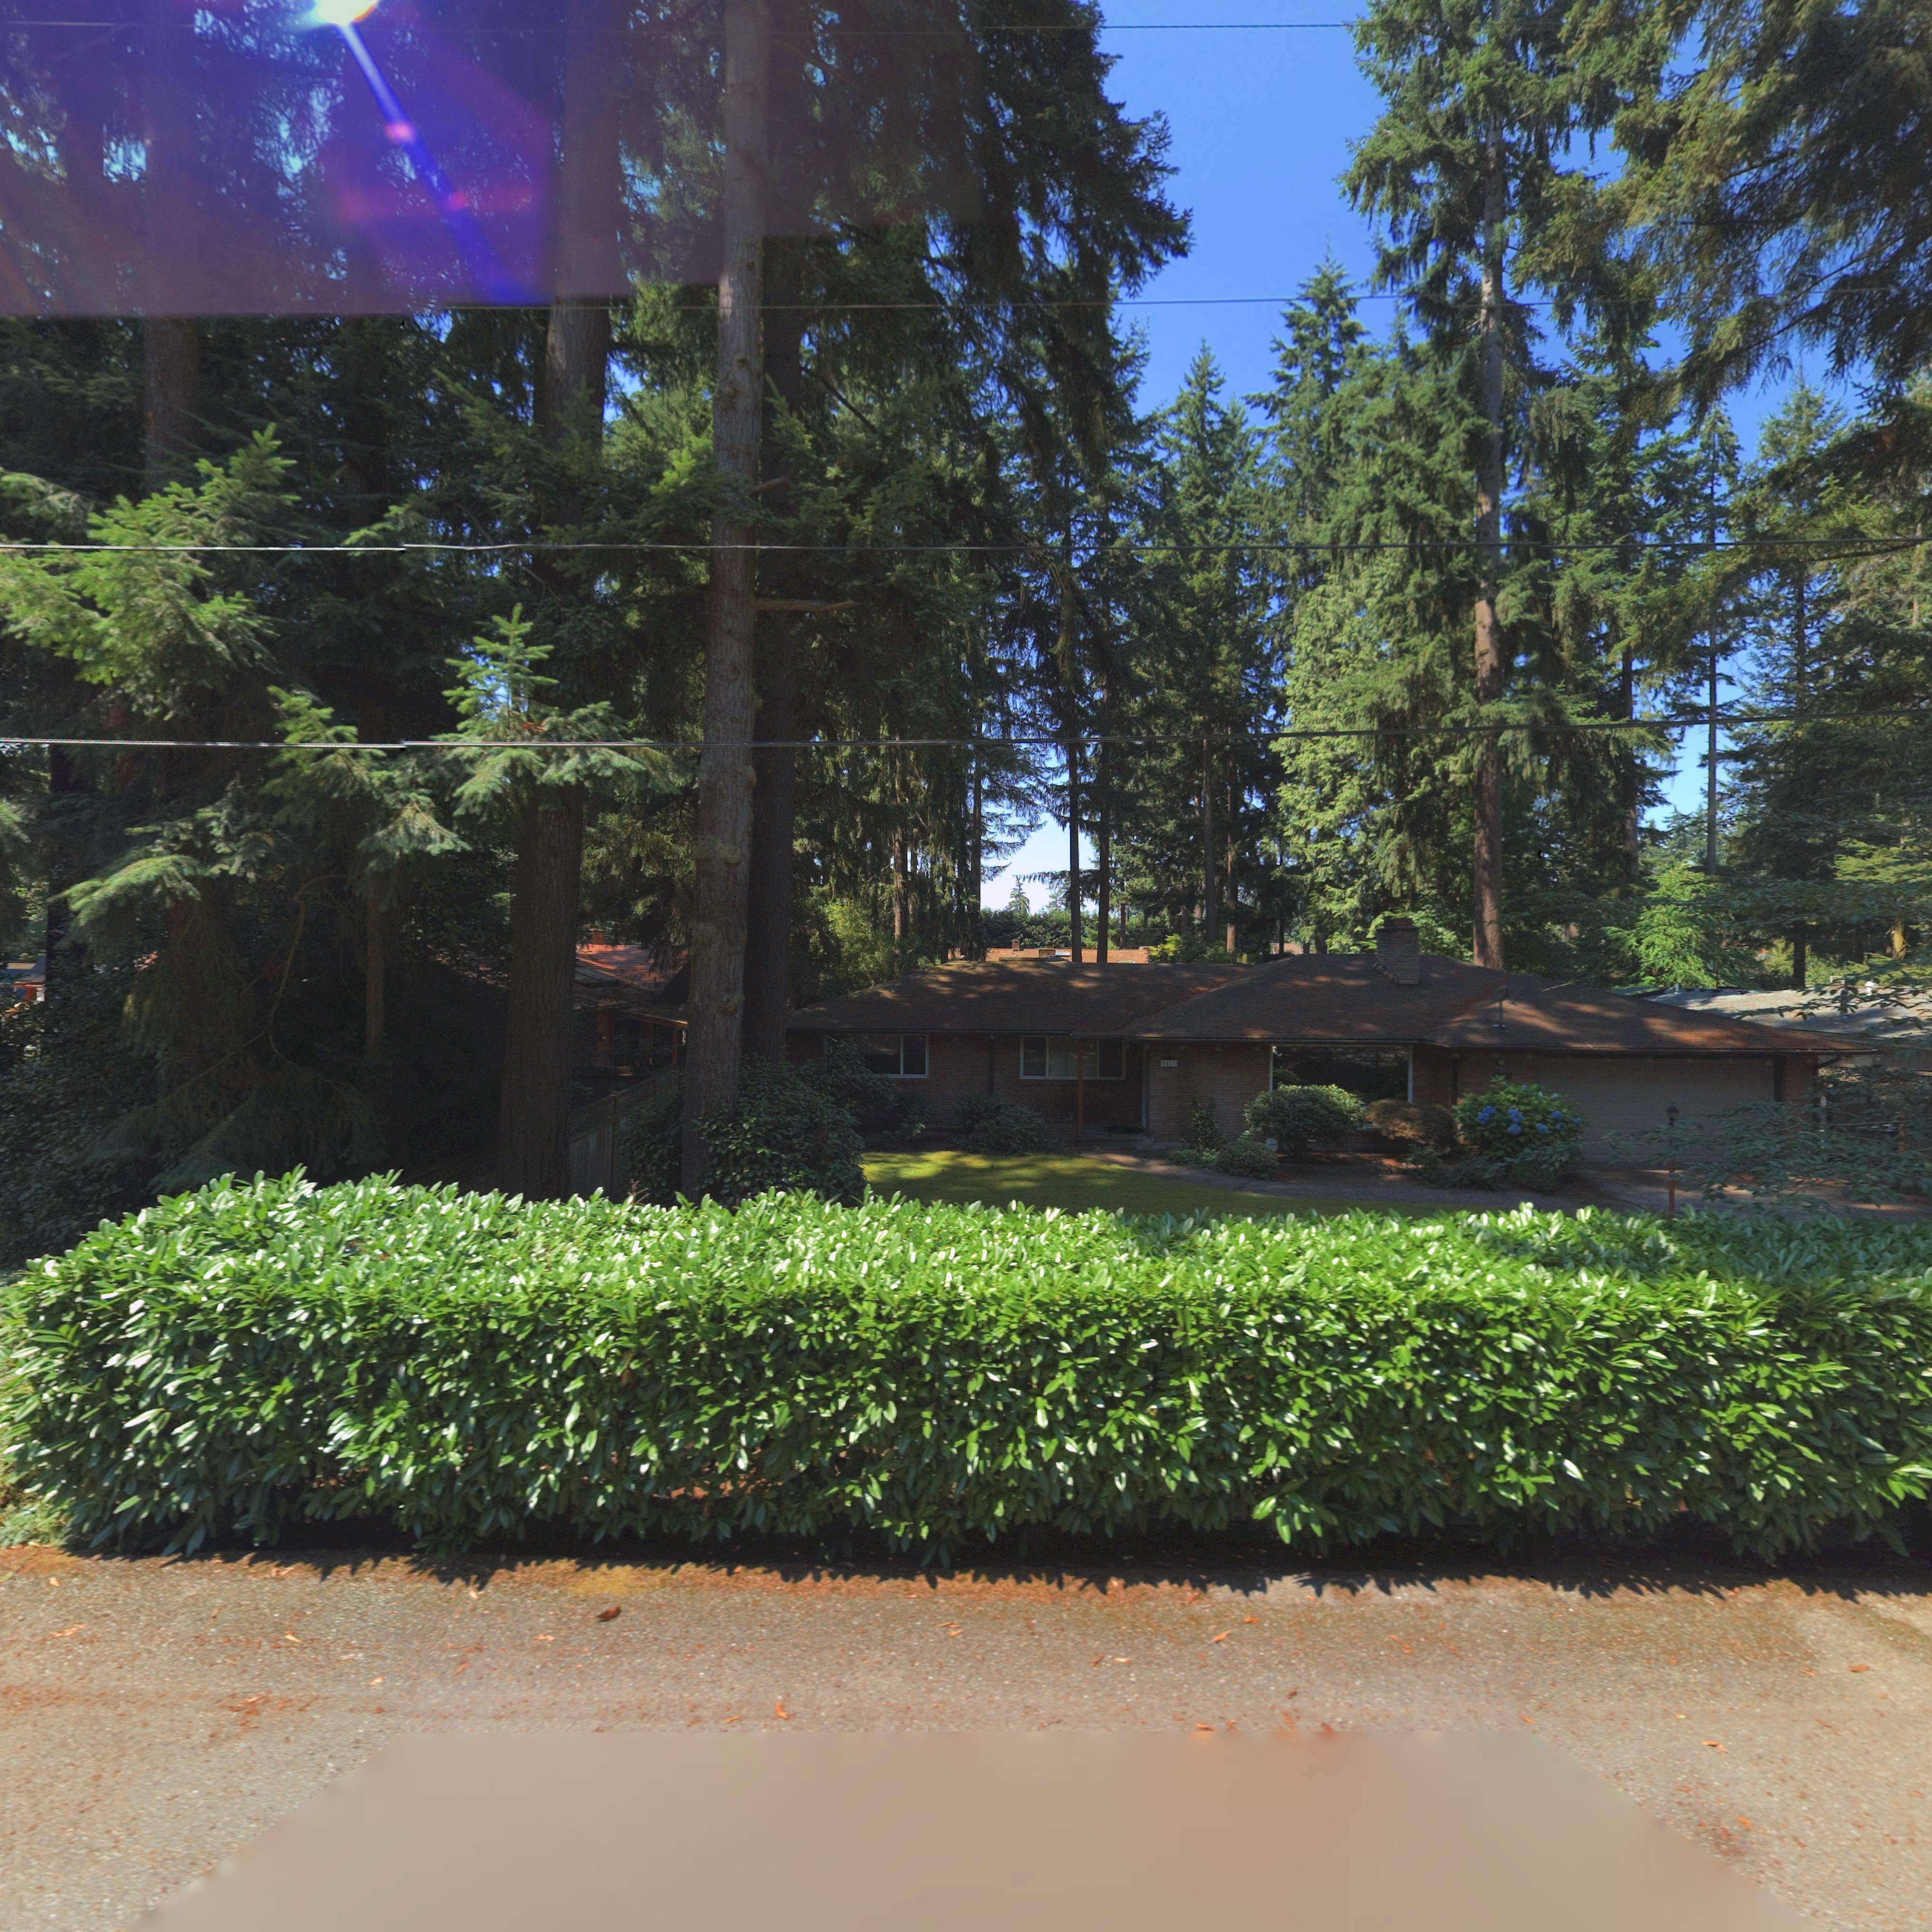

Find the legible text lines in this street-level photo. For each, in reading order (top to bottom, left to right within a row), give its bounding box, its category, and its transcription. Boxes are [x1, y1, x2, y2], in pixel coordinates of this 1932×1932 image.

[1161, 1060, 1176, 1066] StreetNumber: 2421